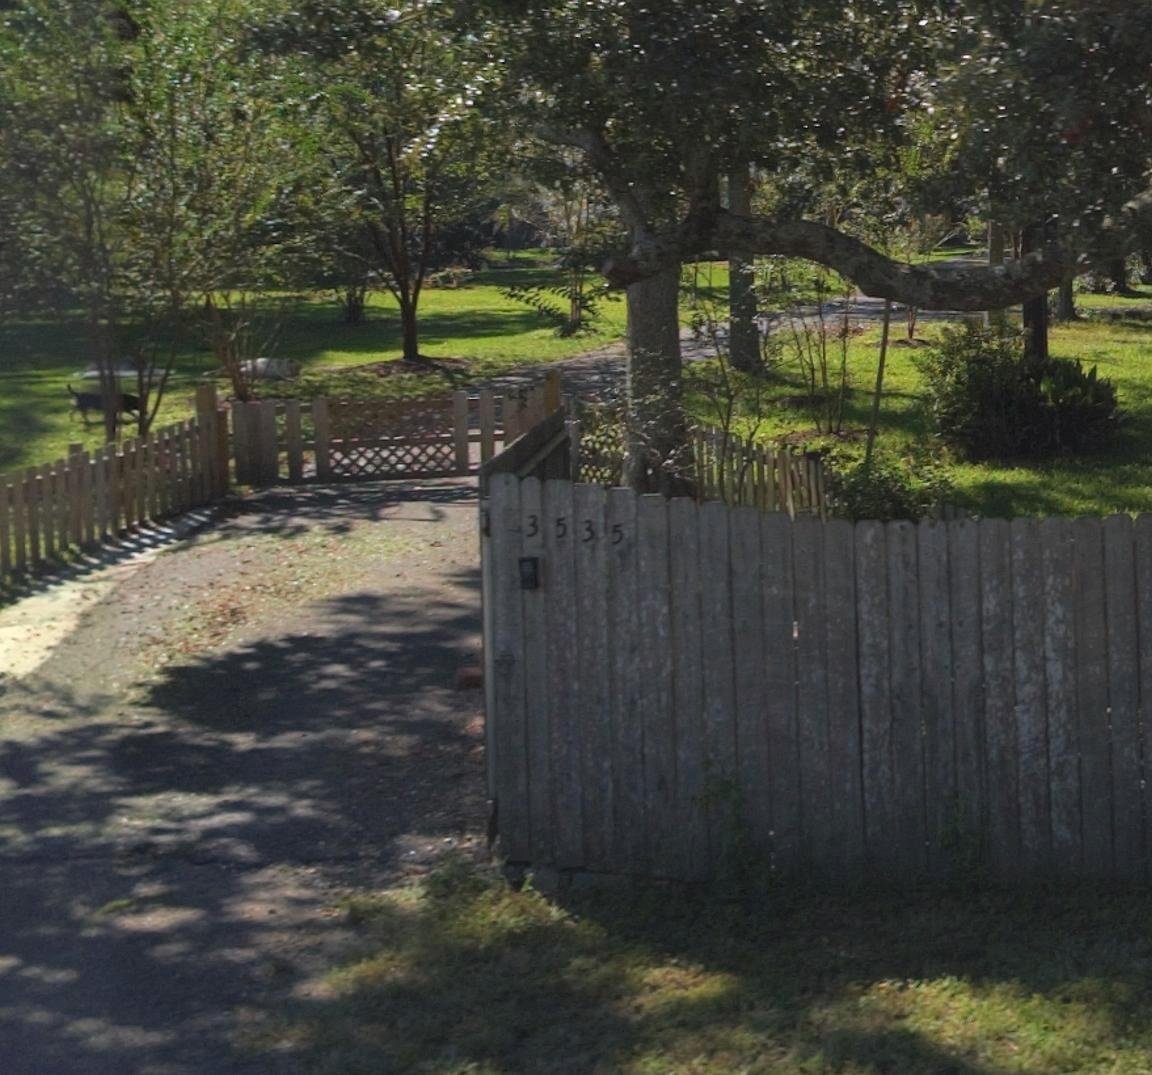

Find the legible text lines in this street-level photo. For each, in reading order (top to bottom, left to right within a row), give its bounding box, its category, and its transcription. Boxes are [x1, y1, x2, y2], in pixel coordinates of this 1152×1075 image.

[524, 511, 627, 548] StreetNumber: 3535